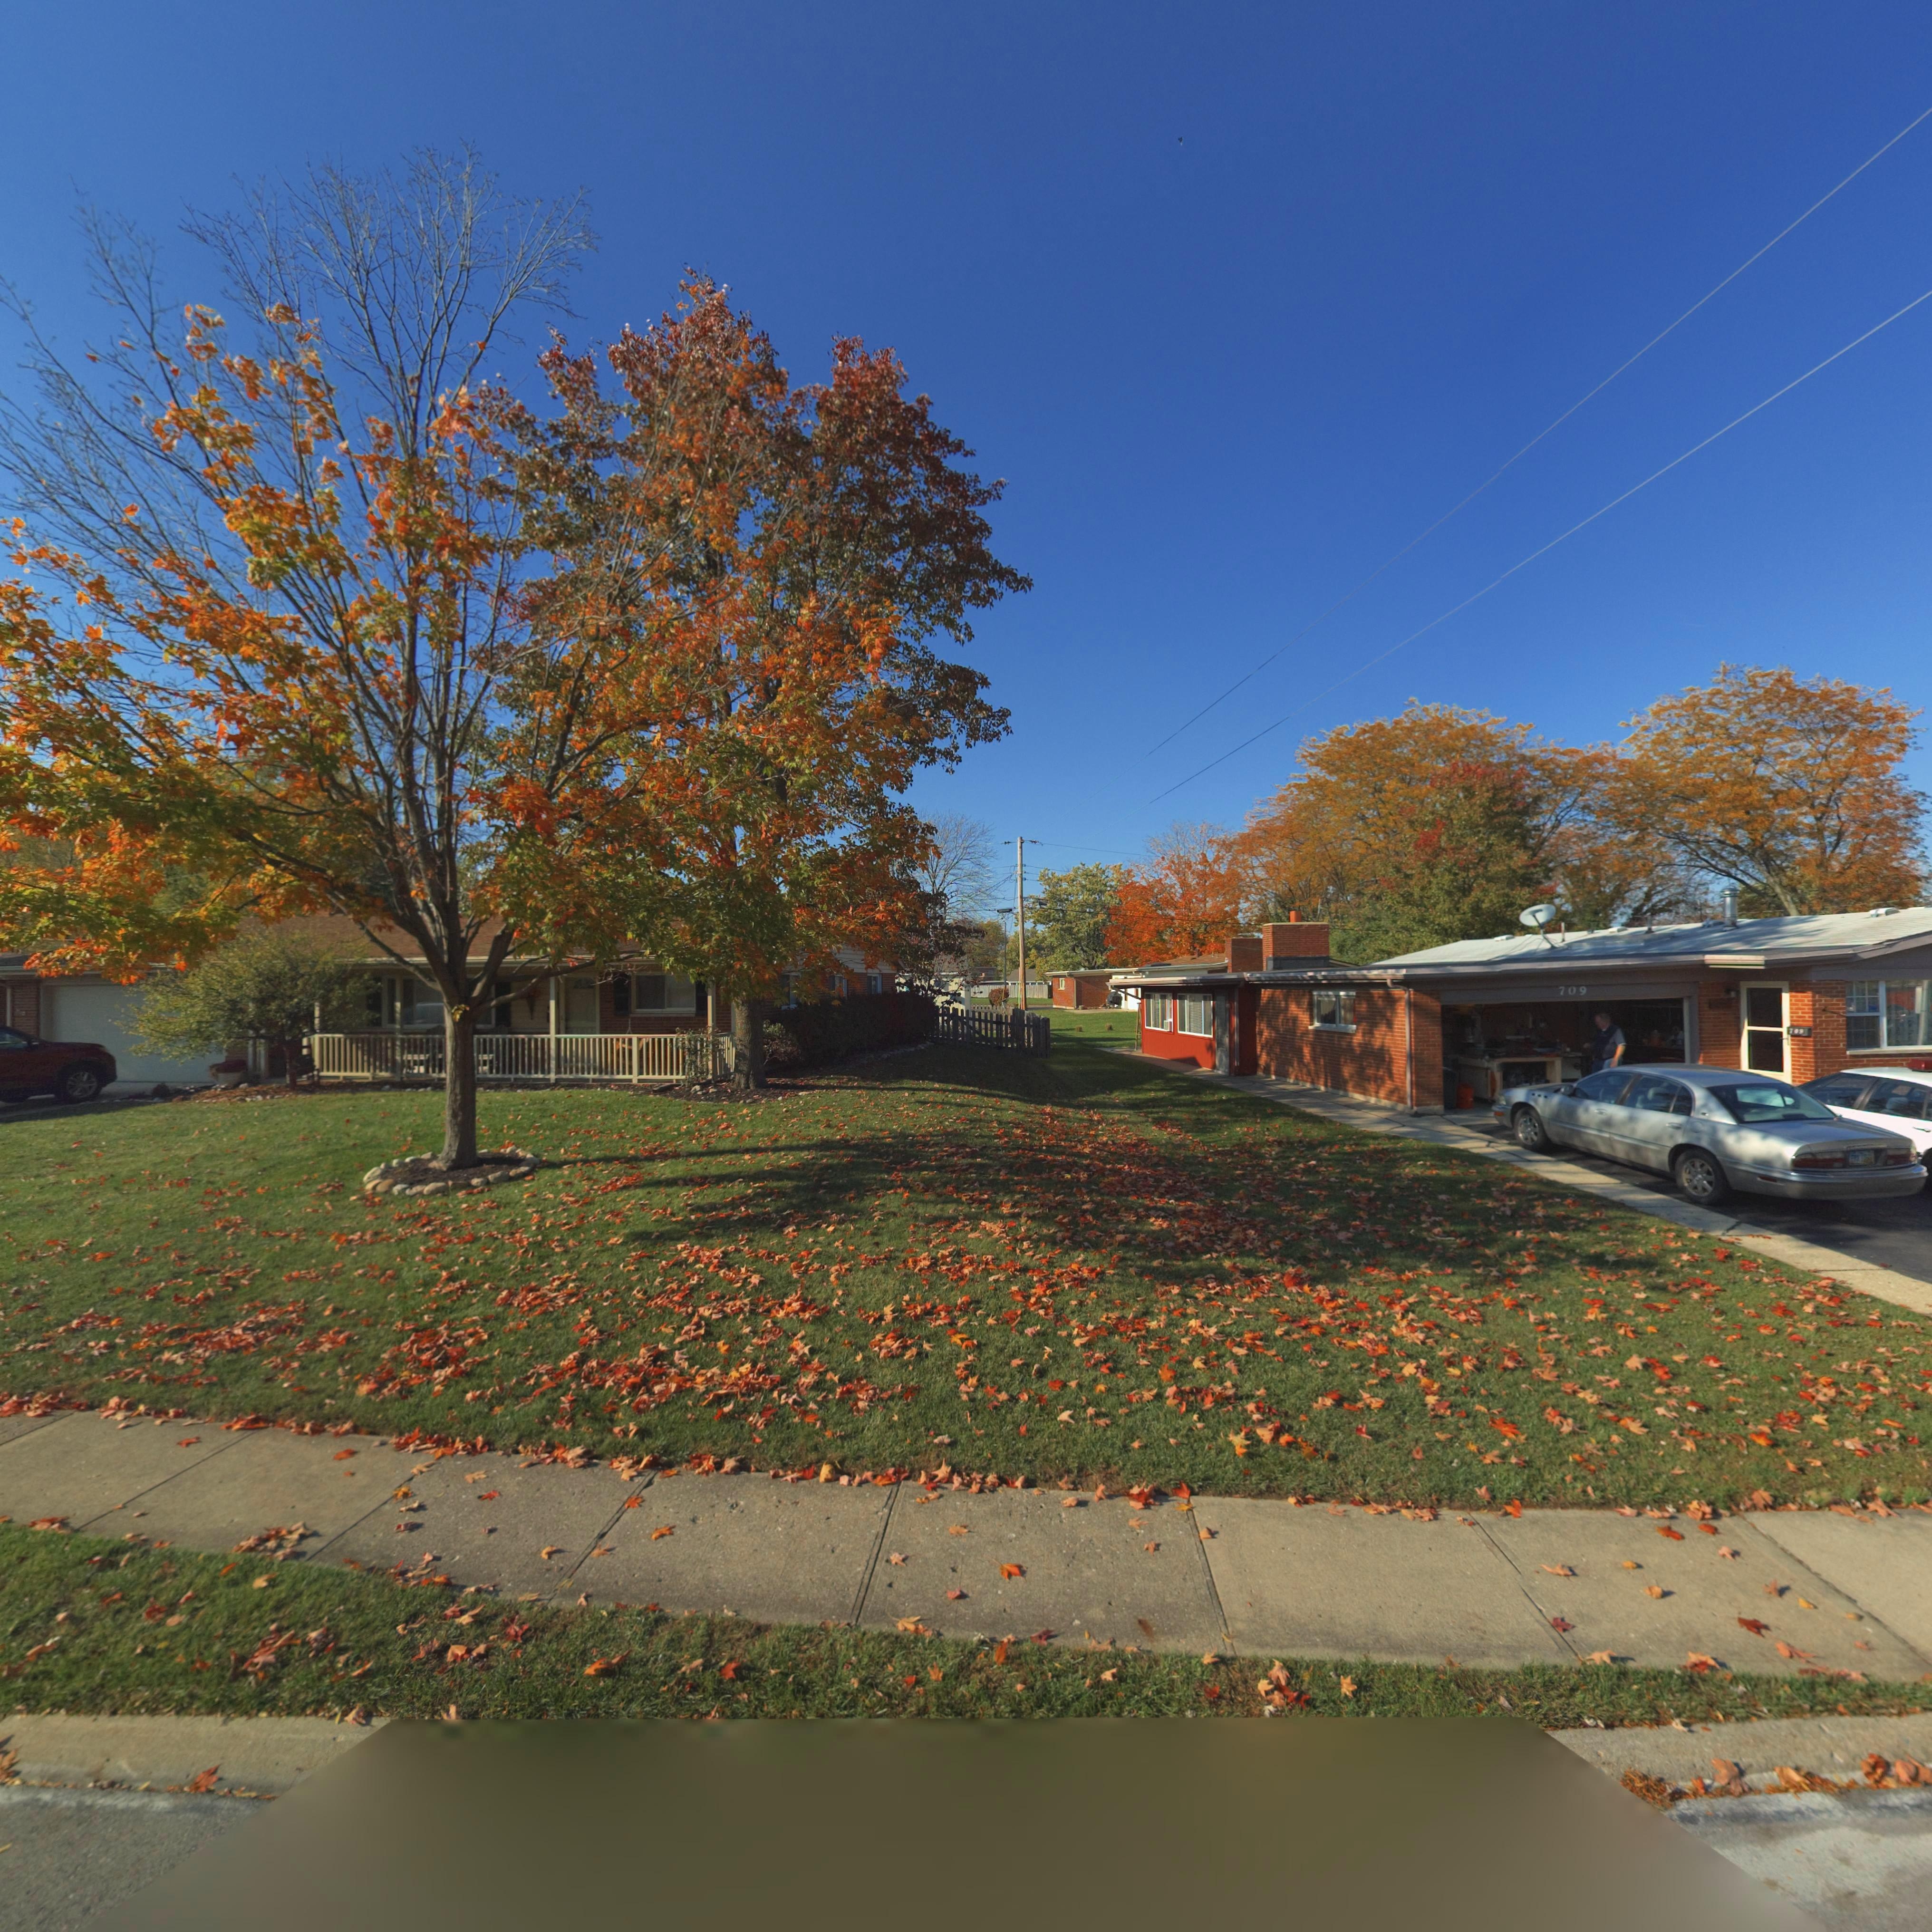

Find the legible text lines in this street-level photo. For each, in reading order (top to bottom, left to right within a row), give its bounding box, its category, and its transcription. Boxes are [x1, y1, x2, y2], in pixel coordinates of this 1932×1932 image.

[1558, 985, 1586, 995] StreetNumber: 709
[1788, 1027, 1804, 1035] StreetNumber: 709